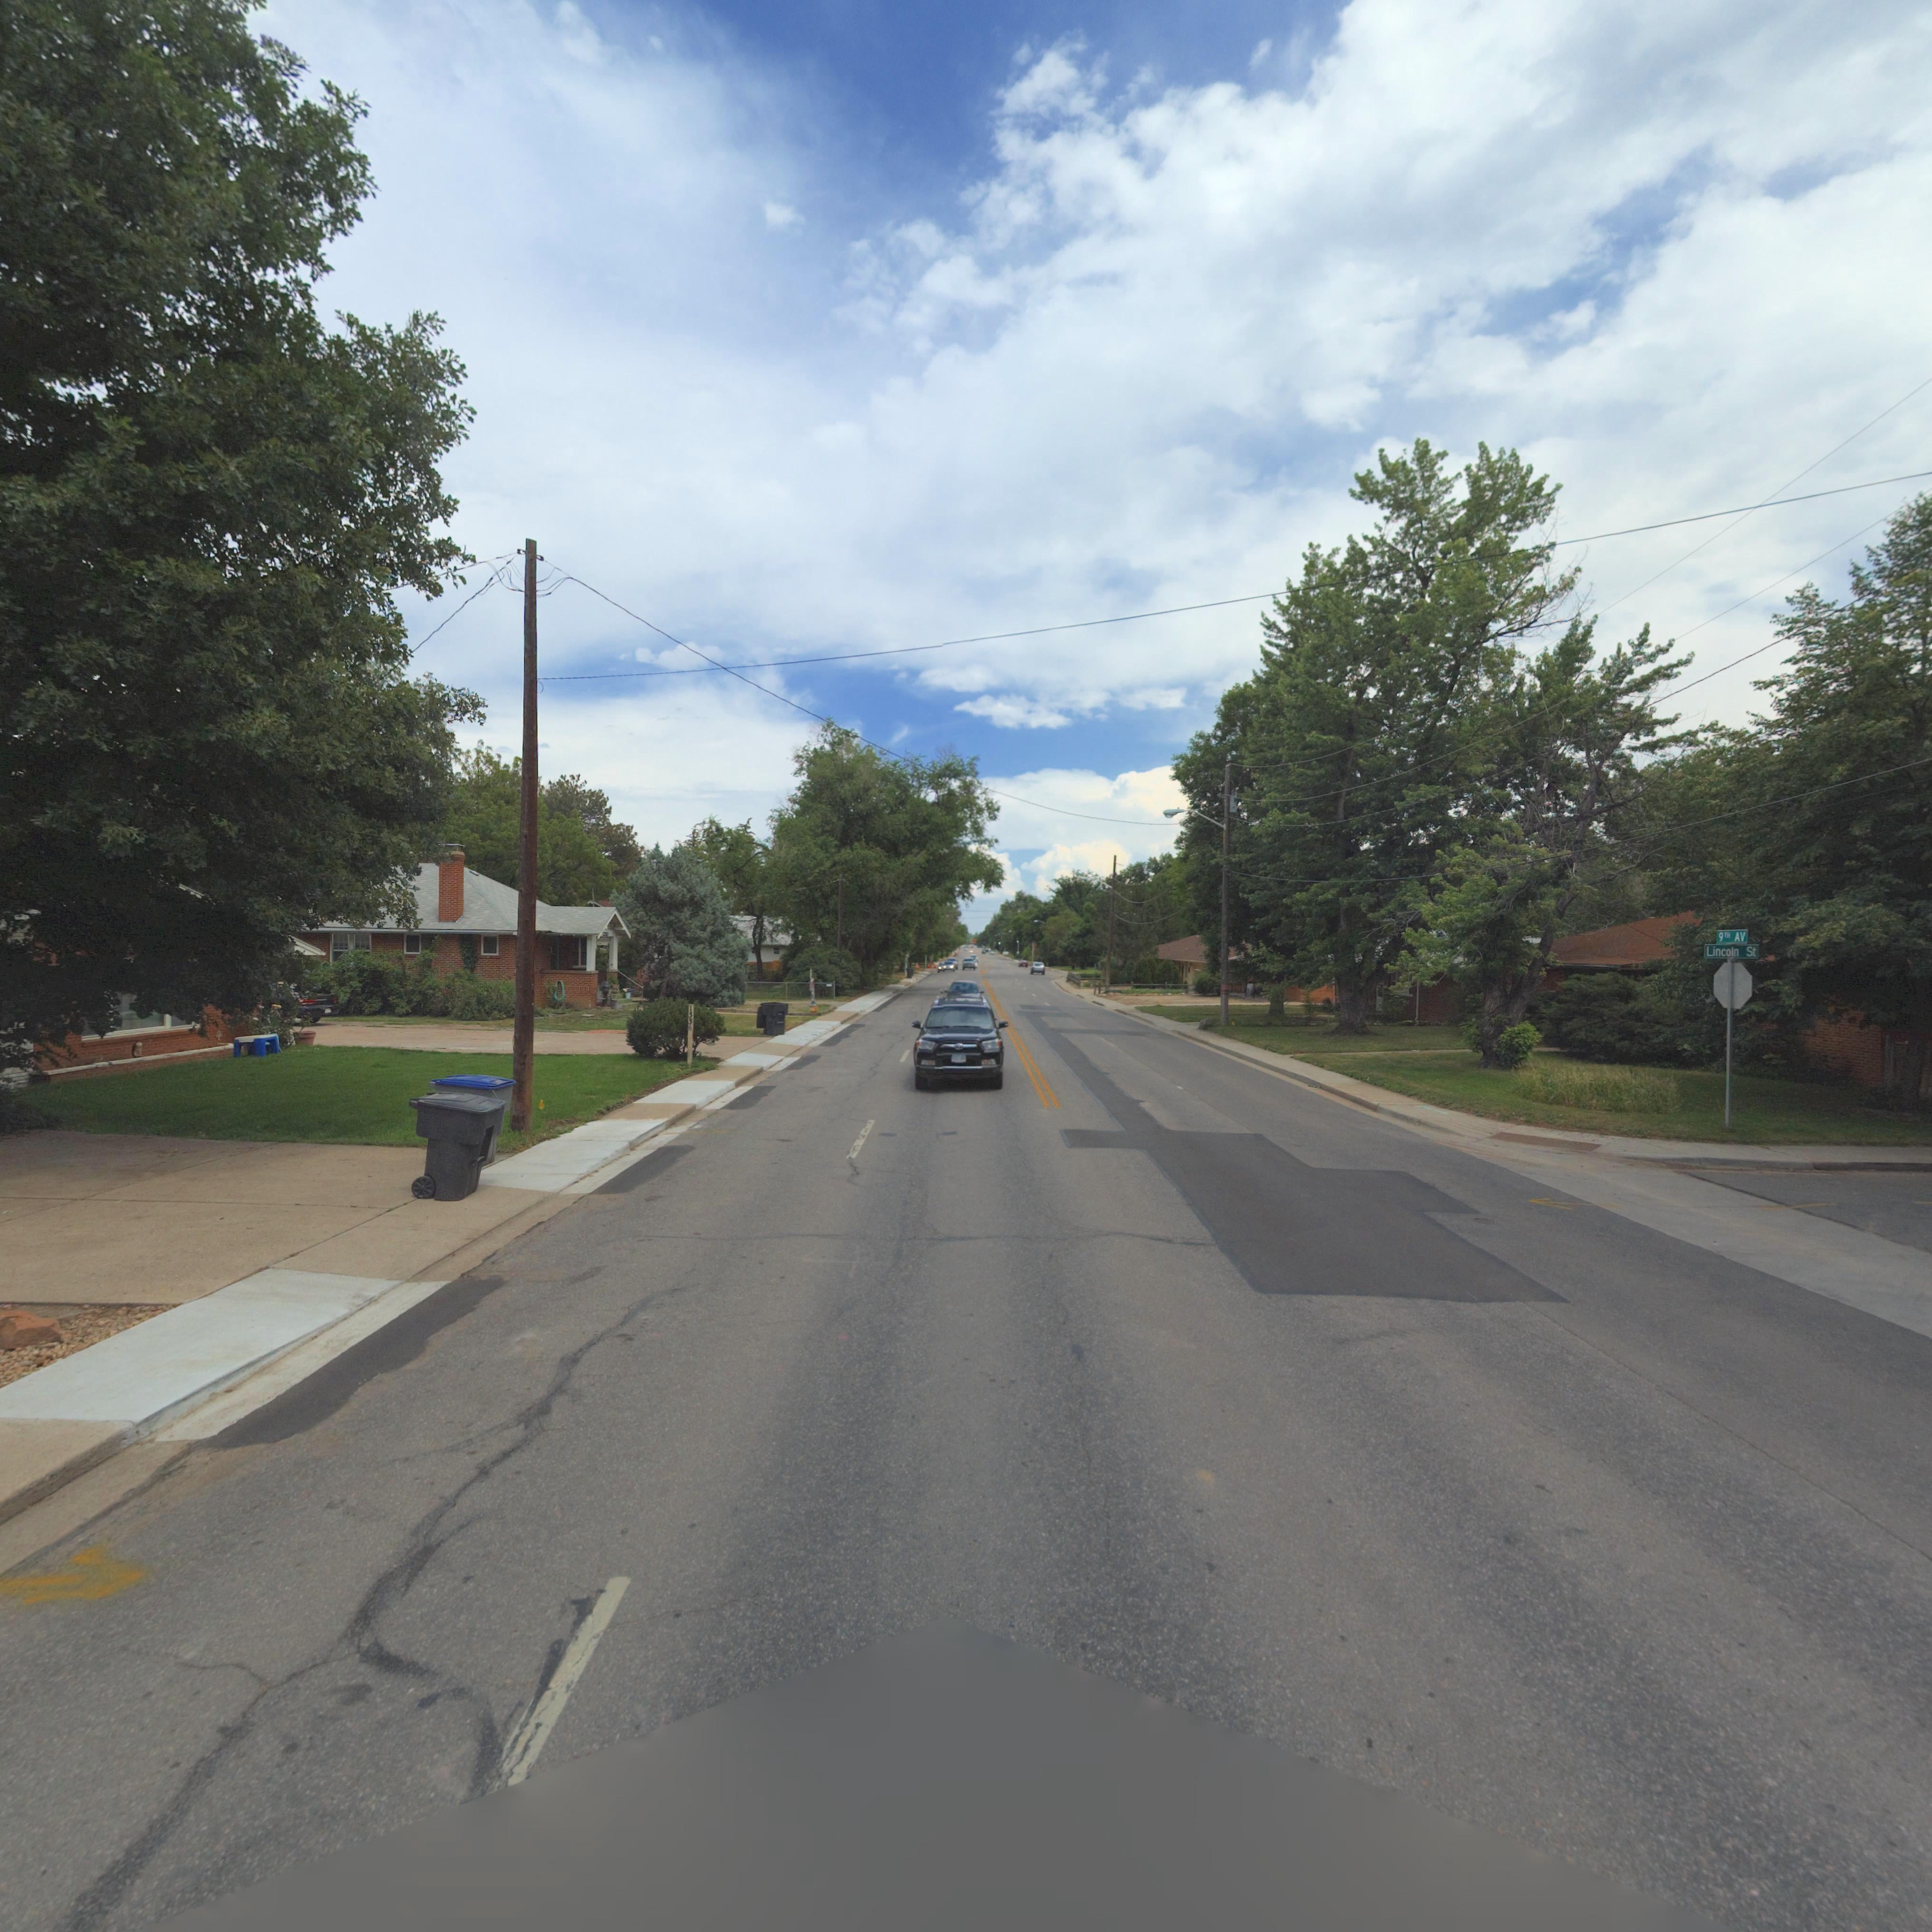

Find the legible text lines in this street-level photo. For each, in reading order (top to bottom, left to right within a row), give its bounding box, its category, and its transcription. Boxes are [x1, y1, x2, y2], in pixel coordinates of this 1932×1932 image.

[1718, 931, 1747, 942] StreetName: 9TH AV
[1705, 945, 1757, 957] StreetName: Lincoln St
[688, 1005, 693, 1031] StreetNumber: 1336